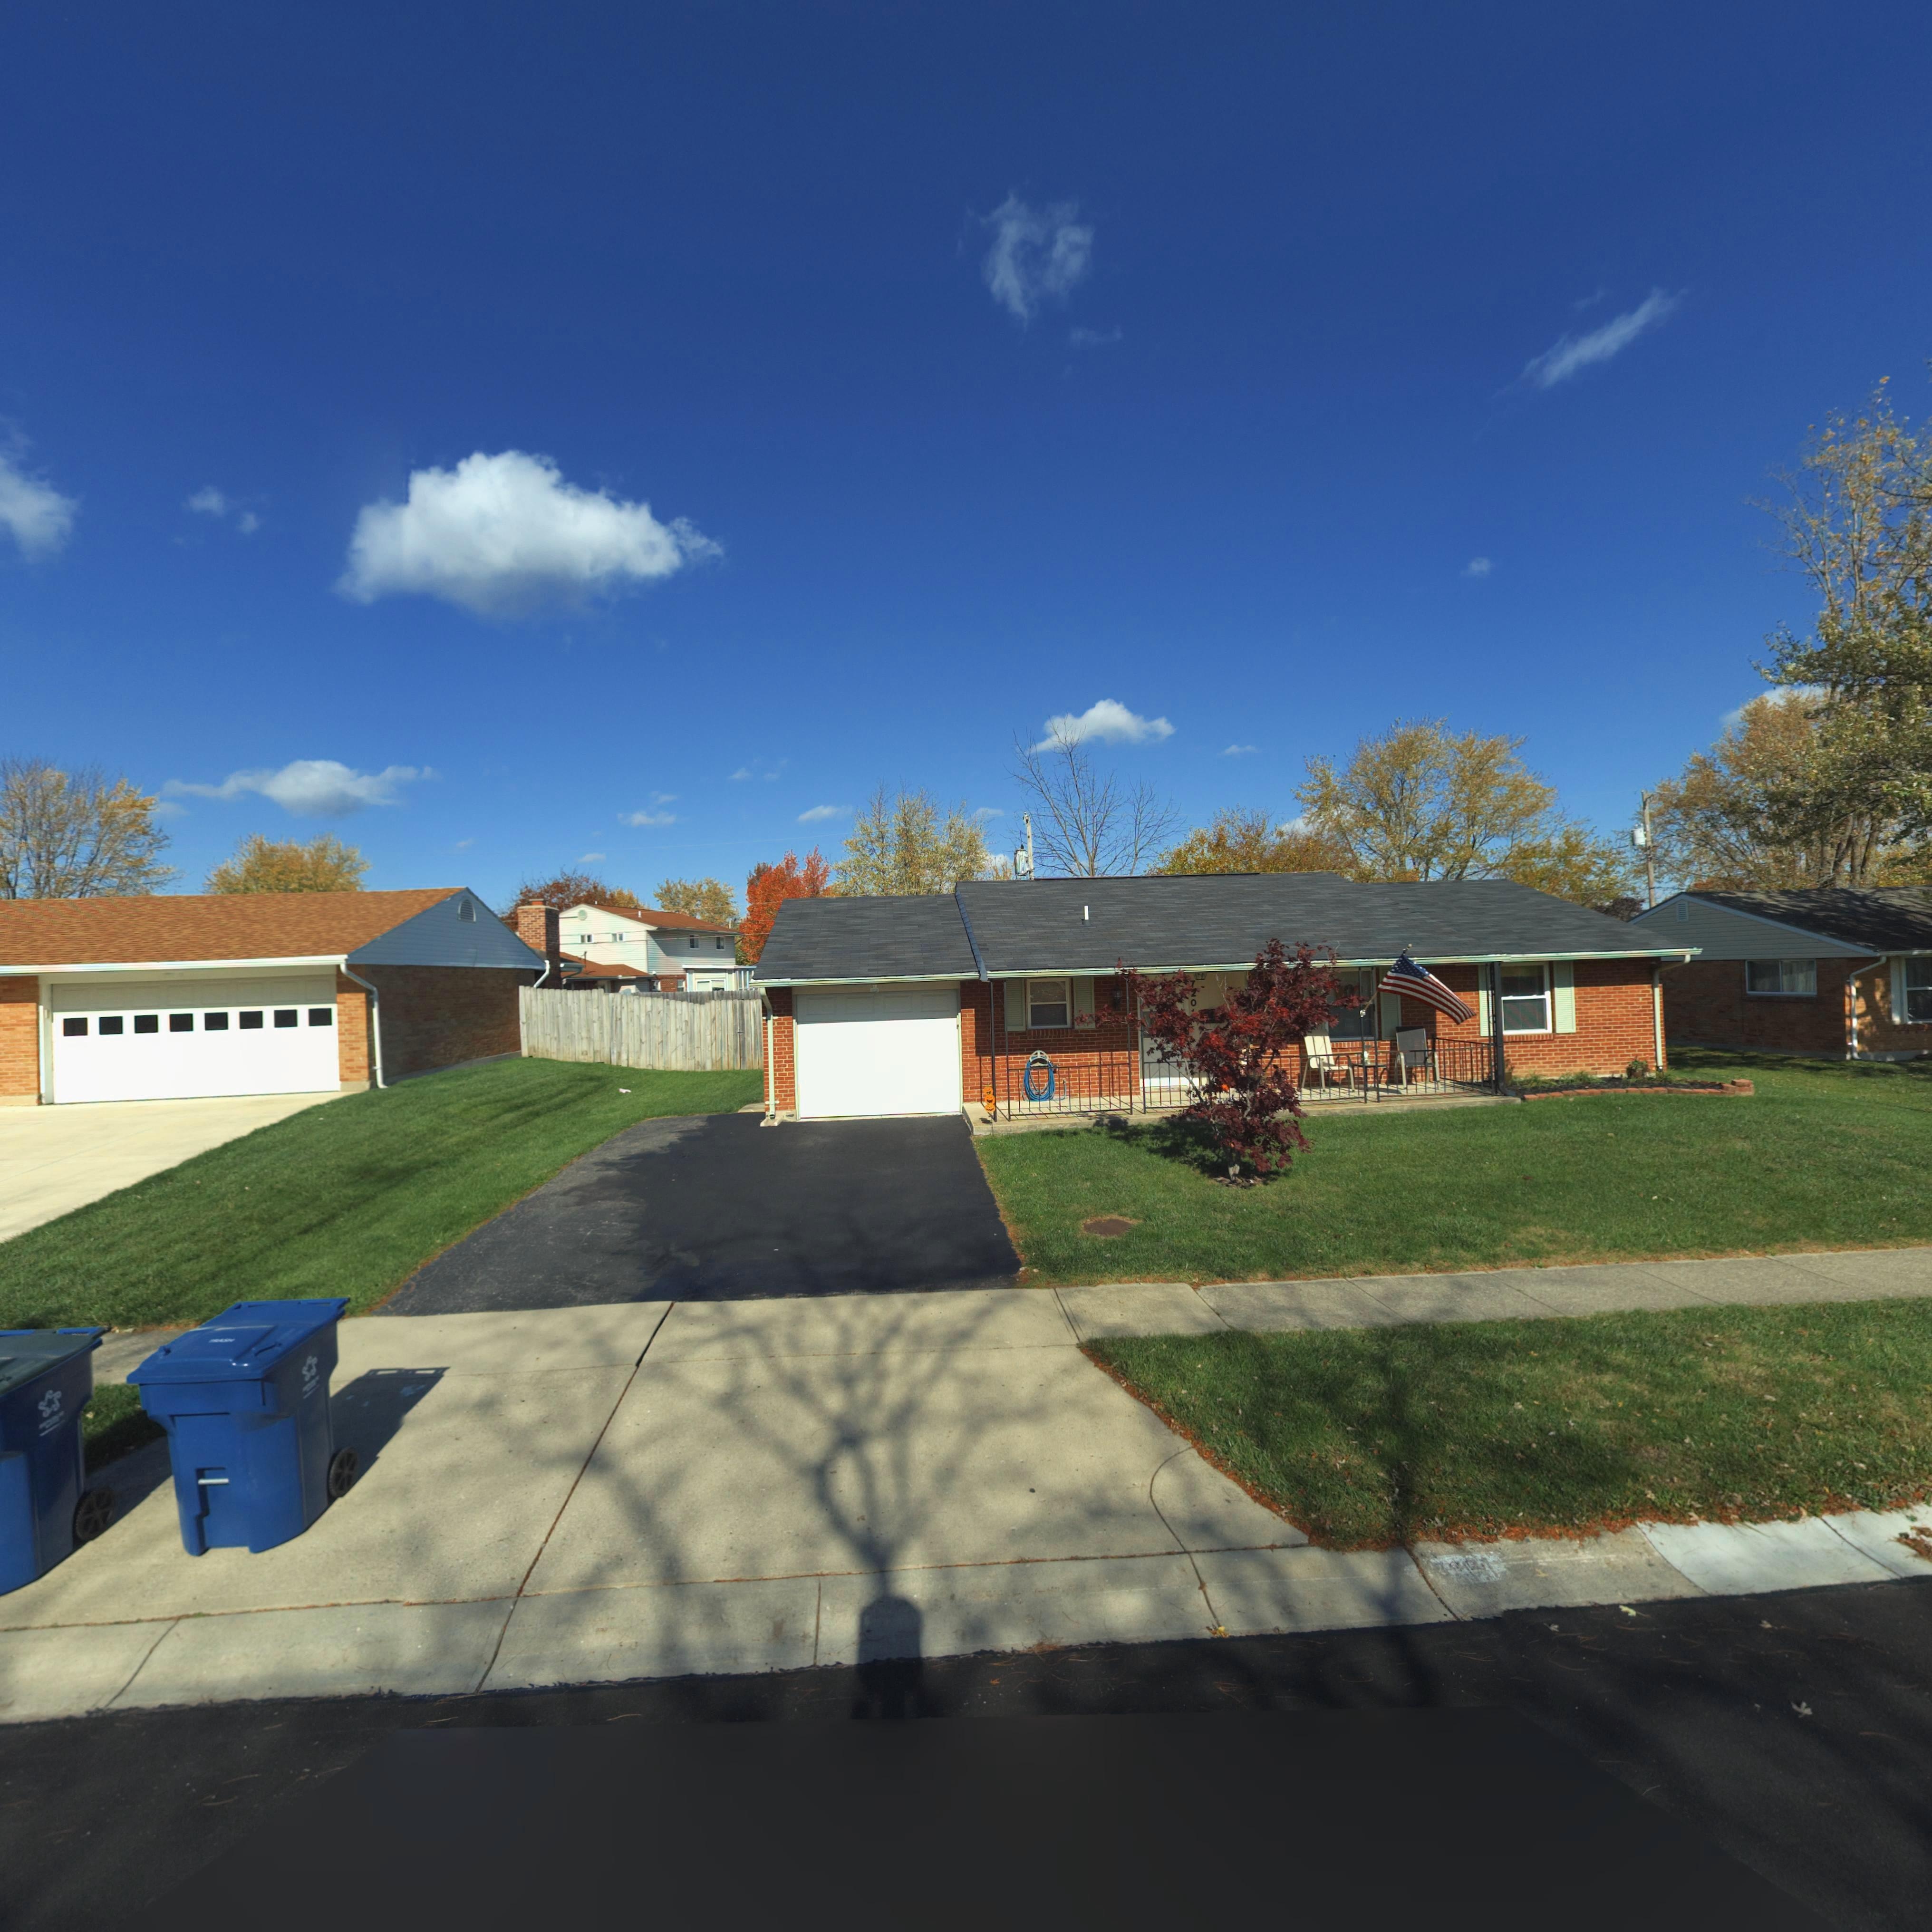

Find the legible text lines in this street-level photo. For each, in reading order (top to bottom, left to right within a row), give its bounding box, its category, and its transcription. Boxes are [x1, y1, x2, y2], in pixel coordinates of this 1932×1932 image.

[1188, 979, 1198, 1008] StreetNumber: 7*0